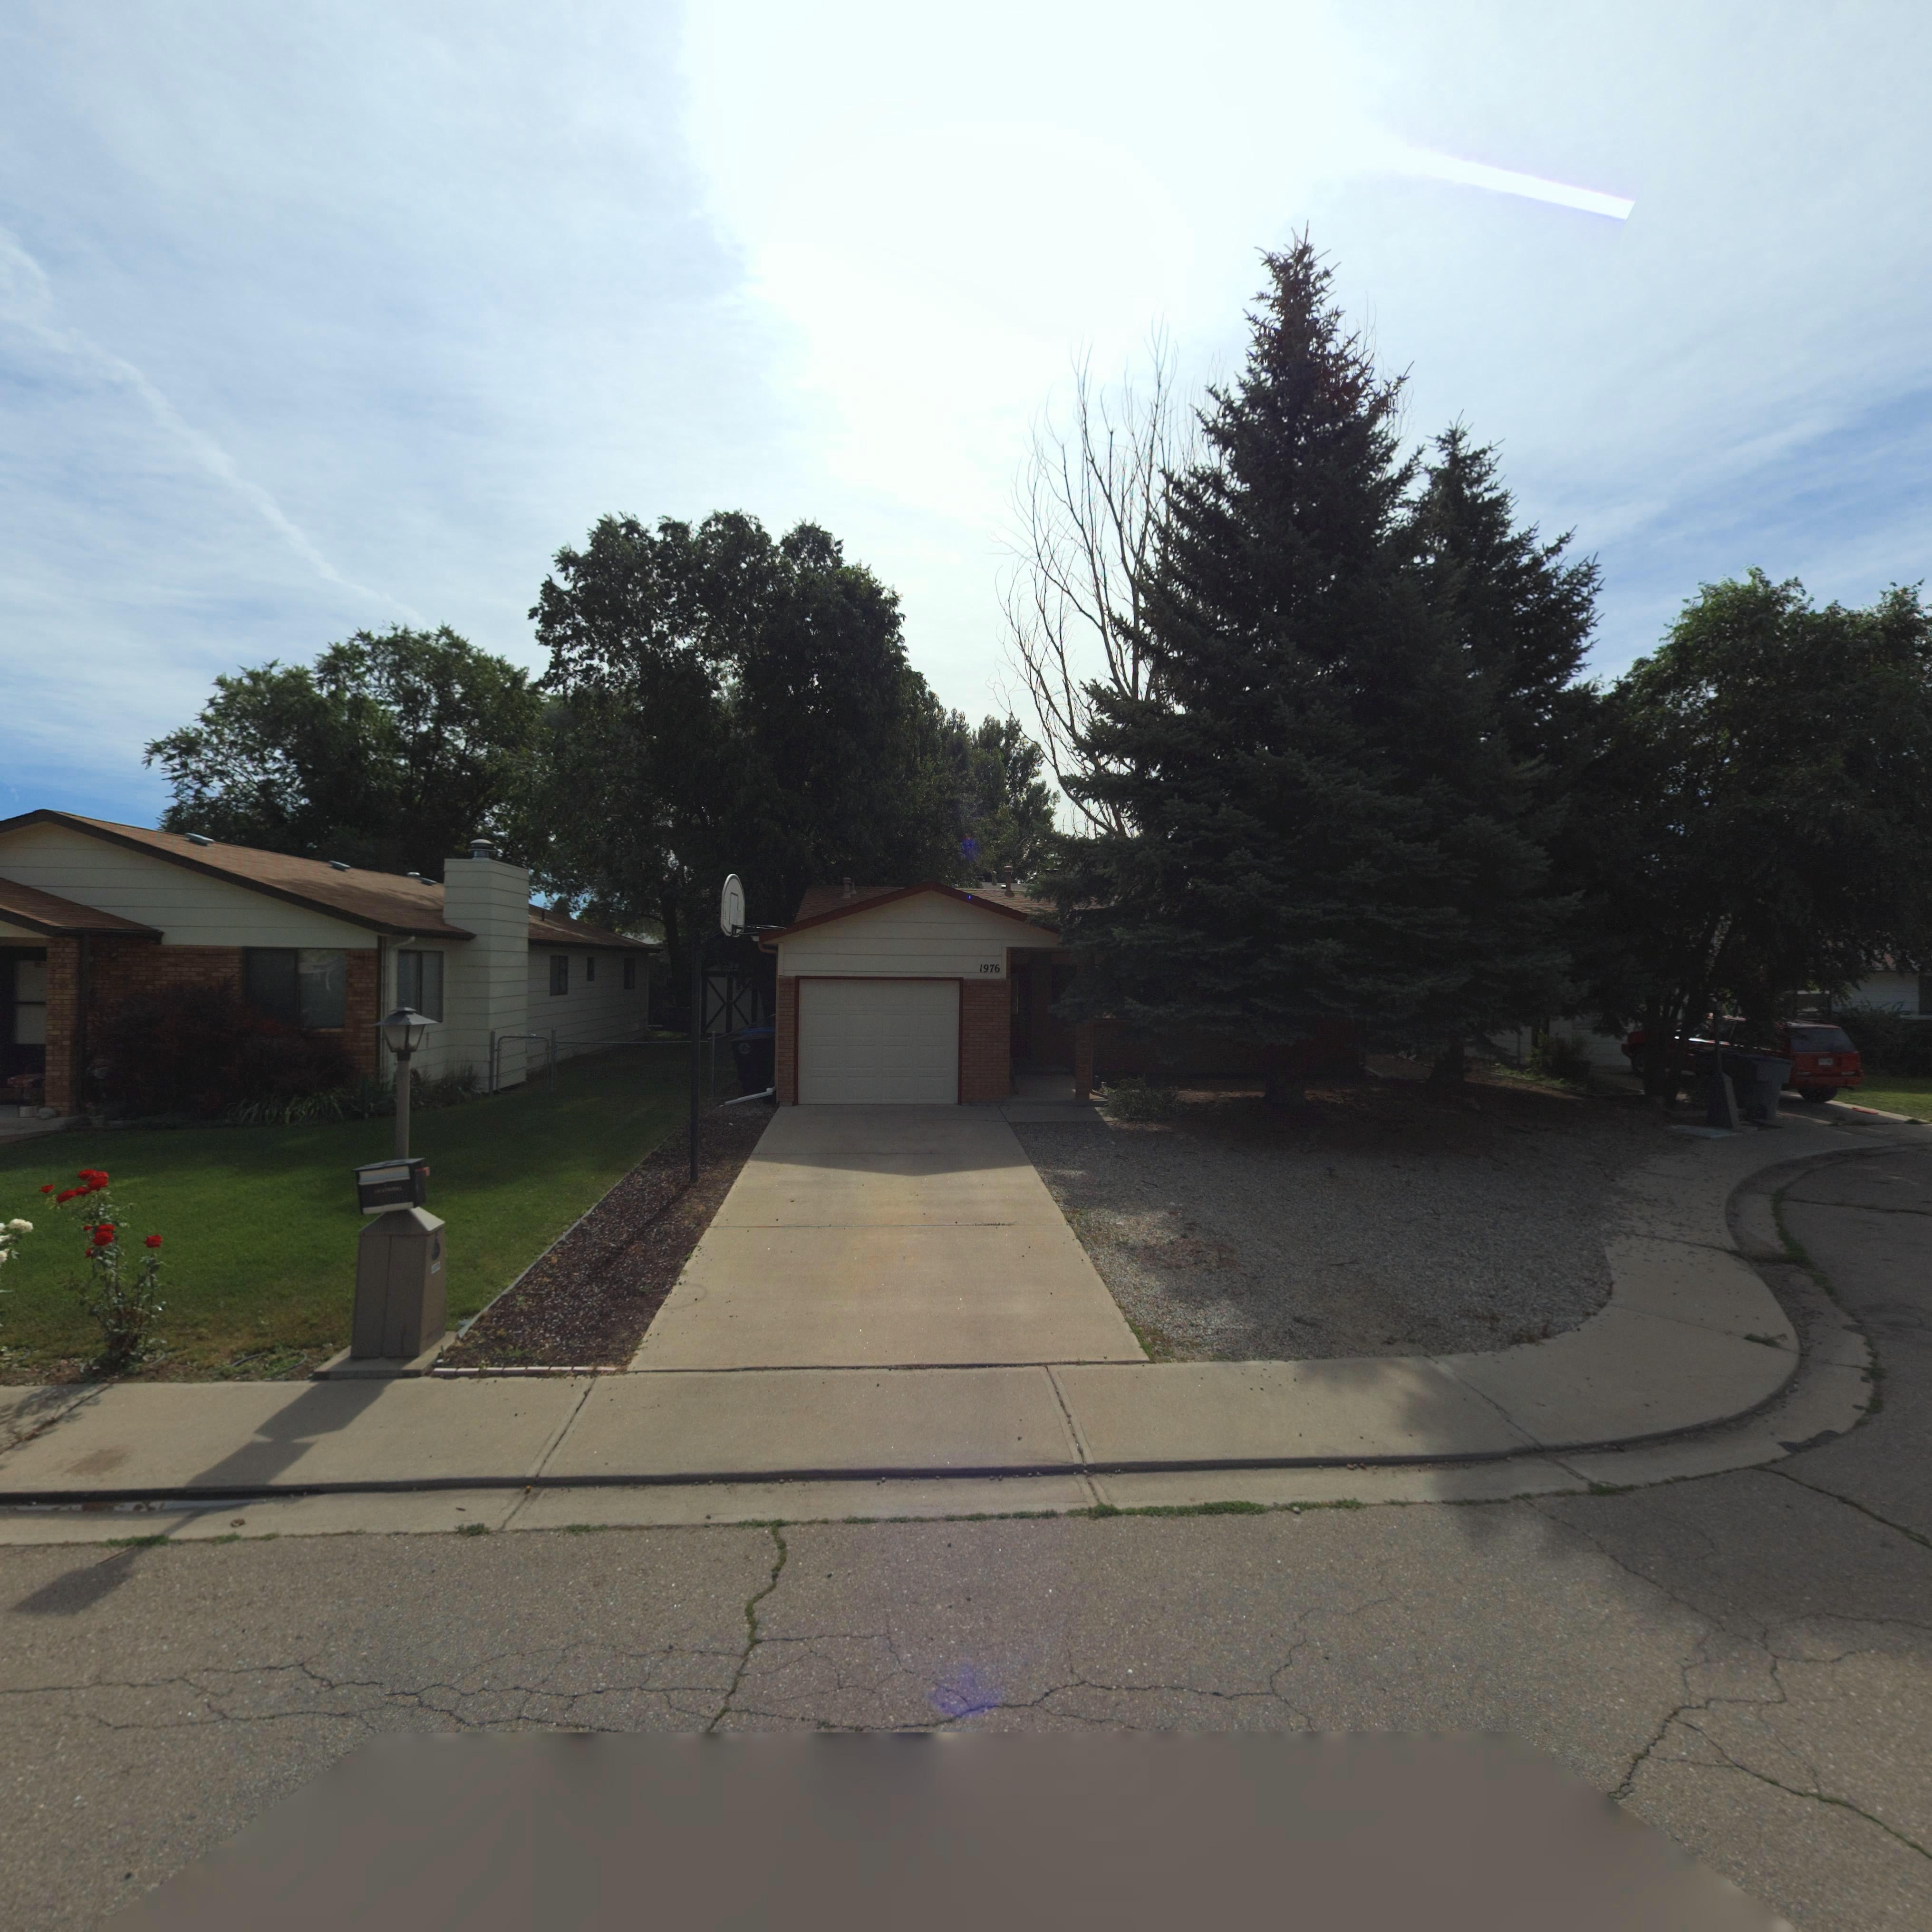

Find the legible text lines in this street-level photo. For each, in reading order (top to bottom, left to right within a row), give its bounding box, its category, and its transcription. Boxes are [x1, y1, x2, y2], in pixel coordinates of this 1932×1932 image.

[979, 963, 1000, 973] StreetNumber: 1976